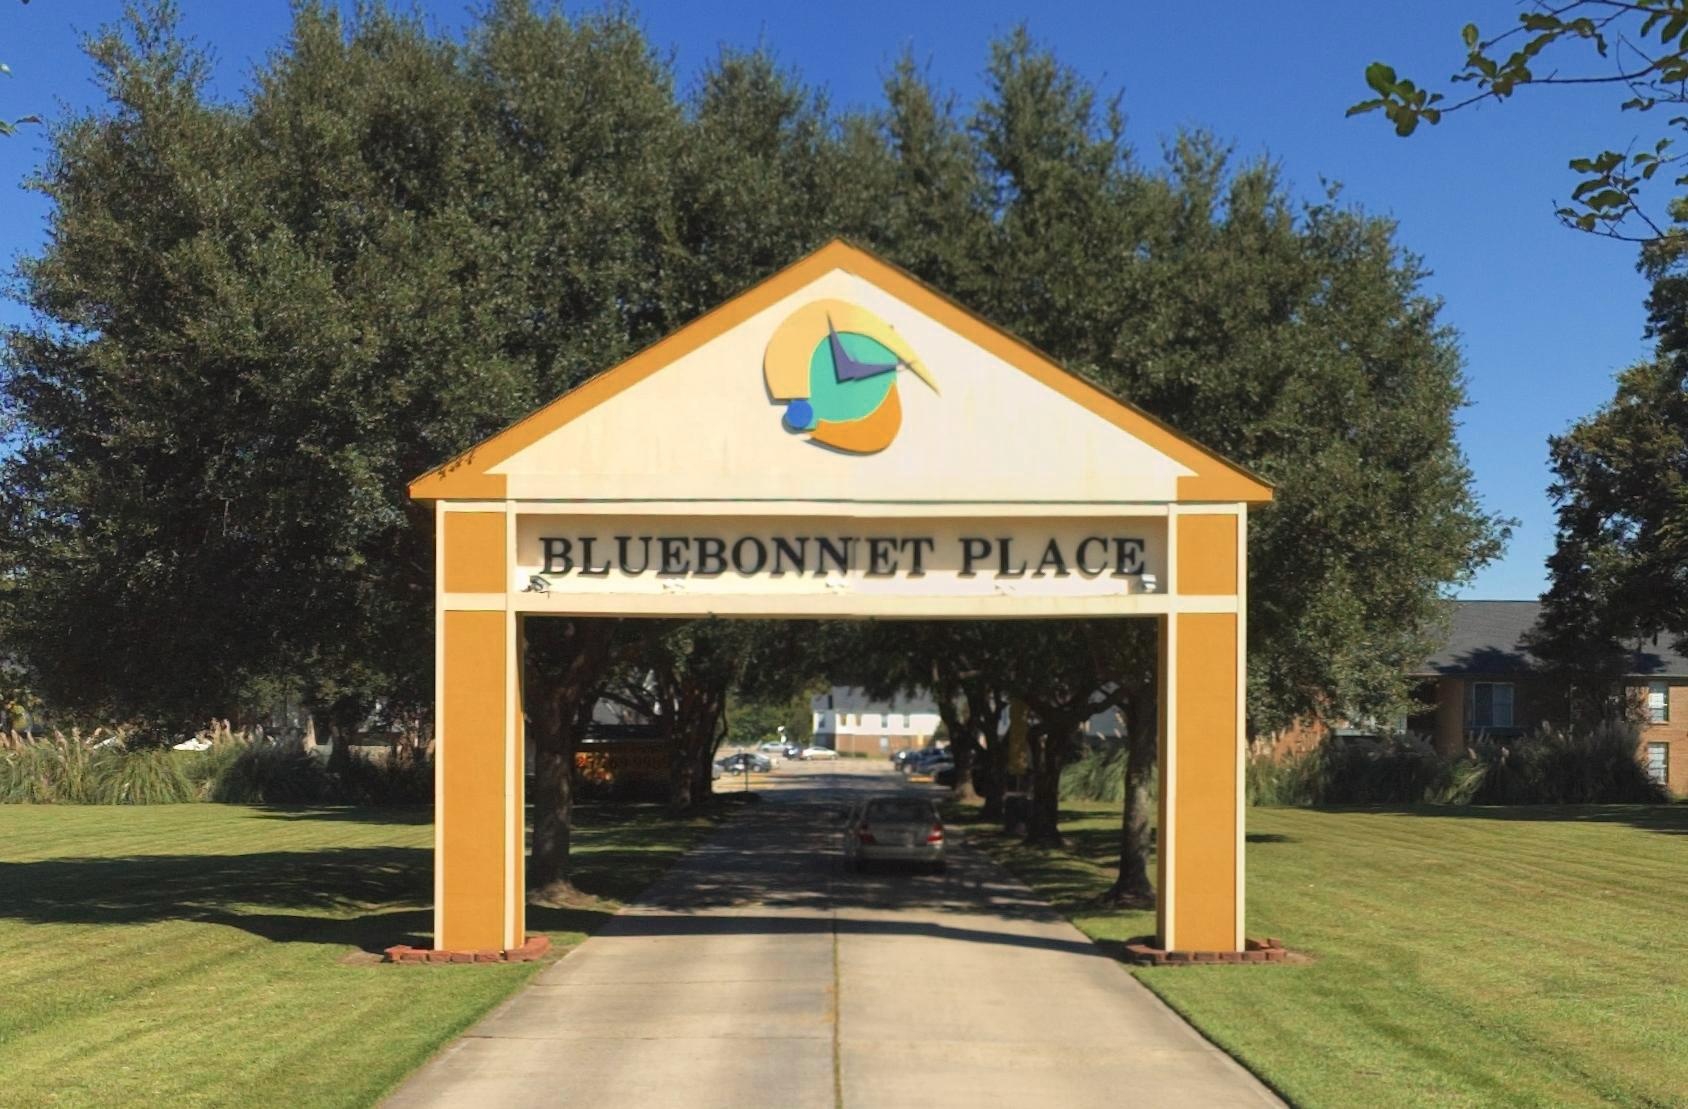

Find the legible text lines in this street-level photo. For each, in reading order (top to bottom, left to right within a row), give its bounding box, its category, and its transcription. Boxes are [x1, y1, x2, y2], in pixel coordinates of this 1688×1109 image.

[537, 535, 1146, 578] BusinessName: BLUEBONNET PLACE